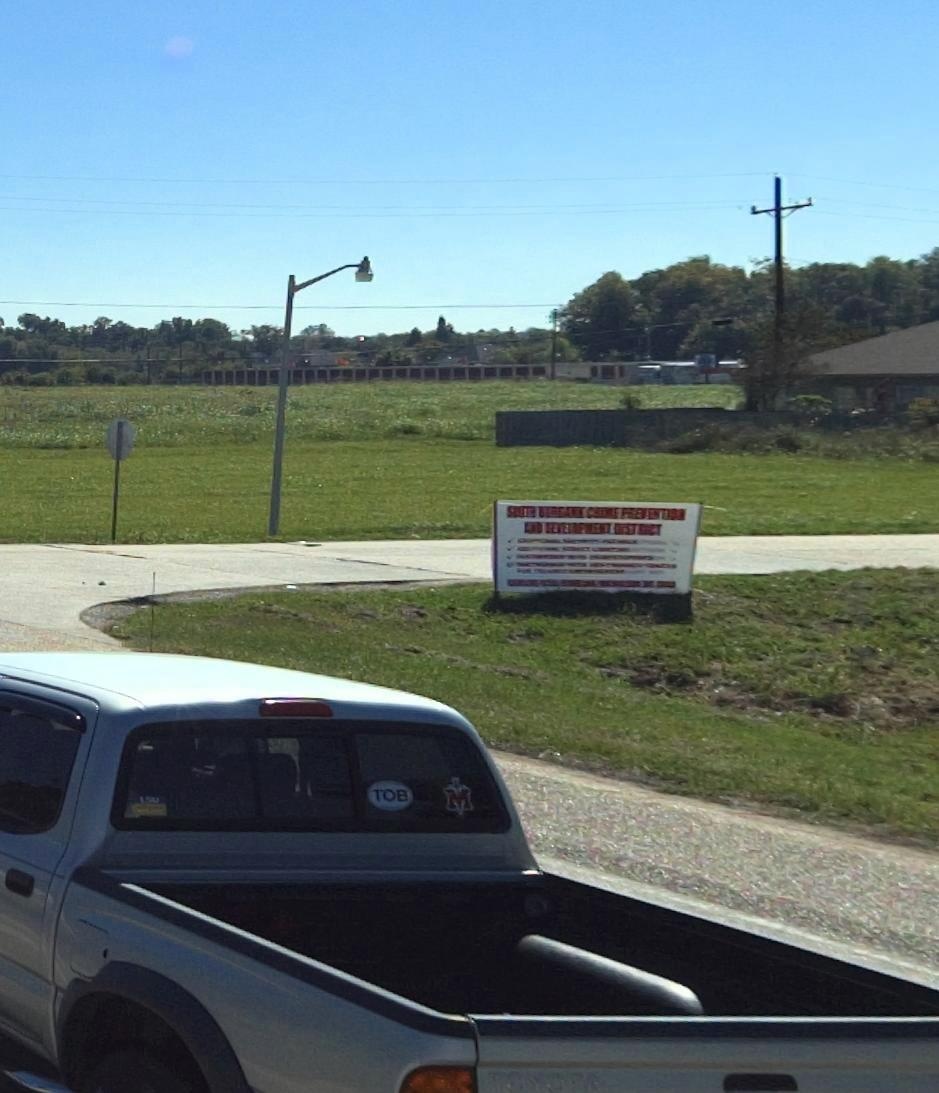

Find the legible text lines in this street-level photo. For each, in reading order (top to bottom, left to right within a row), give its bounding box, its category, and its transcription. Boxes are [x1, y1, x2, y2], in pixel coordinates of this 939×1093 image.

[505, 504, 687, 522] BusinessName: S*UTH B***ANK CRIME PREV******
[523, 521, 664, 537] BusinessName: AND DEVELOPMENT DISTRICT
[138, 794, 162, 804] None: L*U
[370, 788, 410, 803] None: TOB
[444, 788, 472, 810] None: M